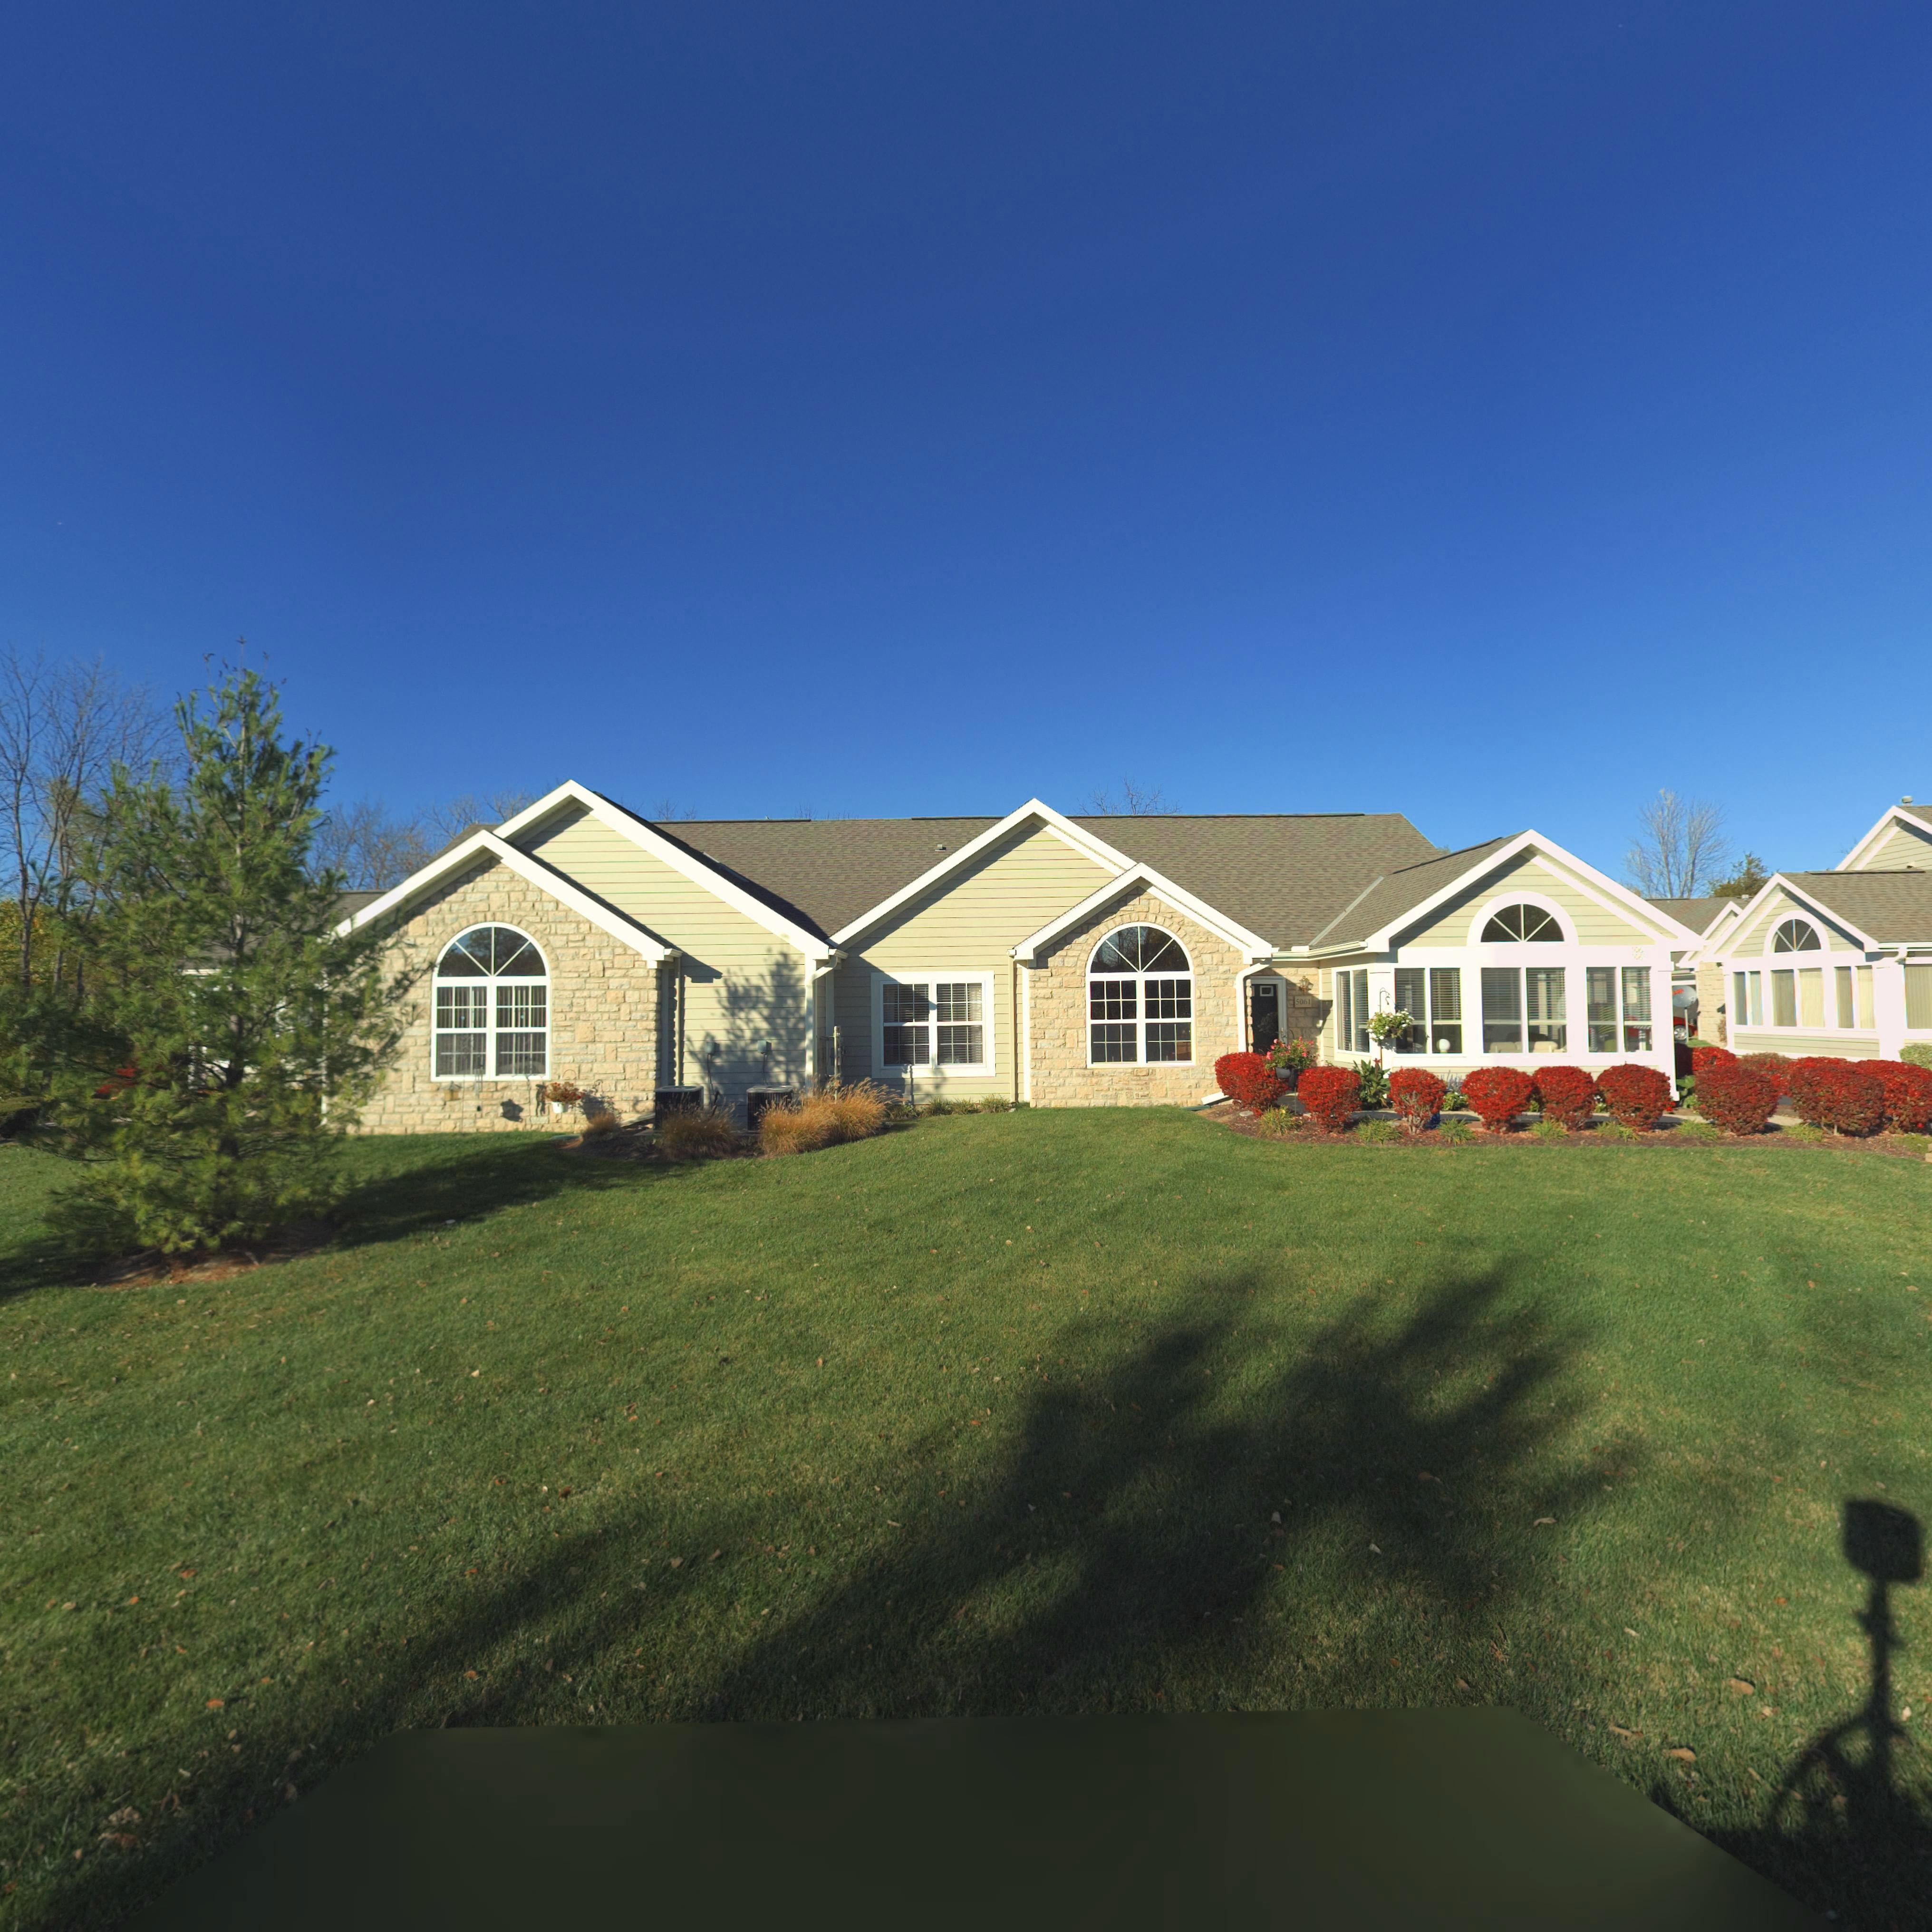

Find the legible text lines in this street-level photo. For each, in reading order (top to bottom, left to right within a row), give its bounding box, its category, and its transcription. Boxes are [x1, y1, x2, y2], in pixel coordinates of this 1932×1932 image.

[1294, 998, 1312, 1006] StreetNumber: 5061